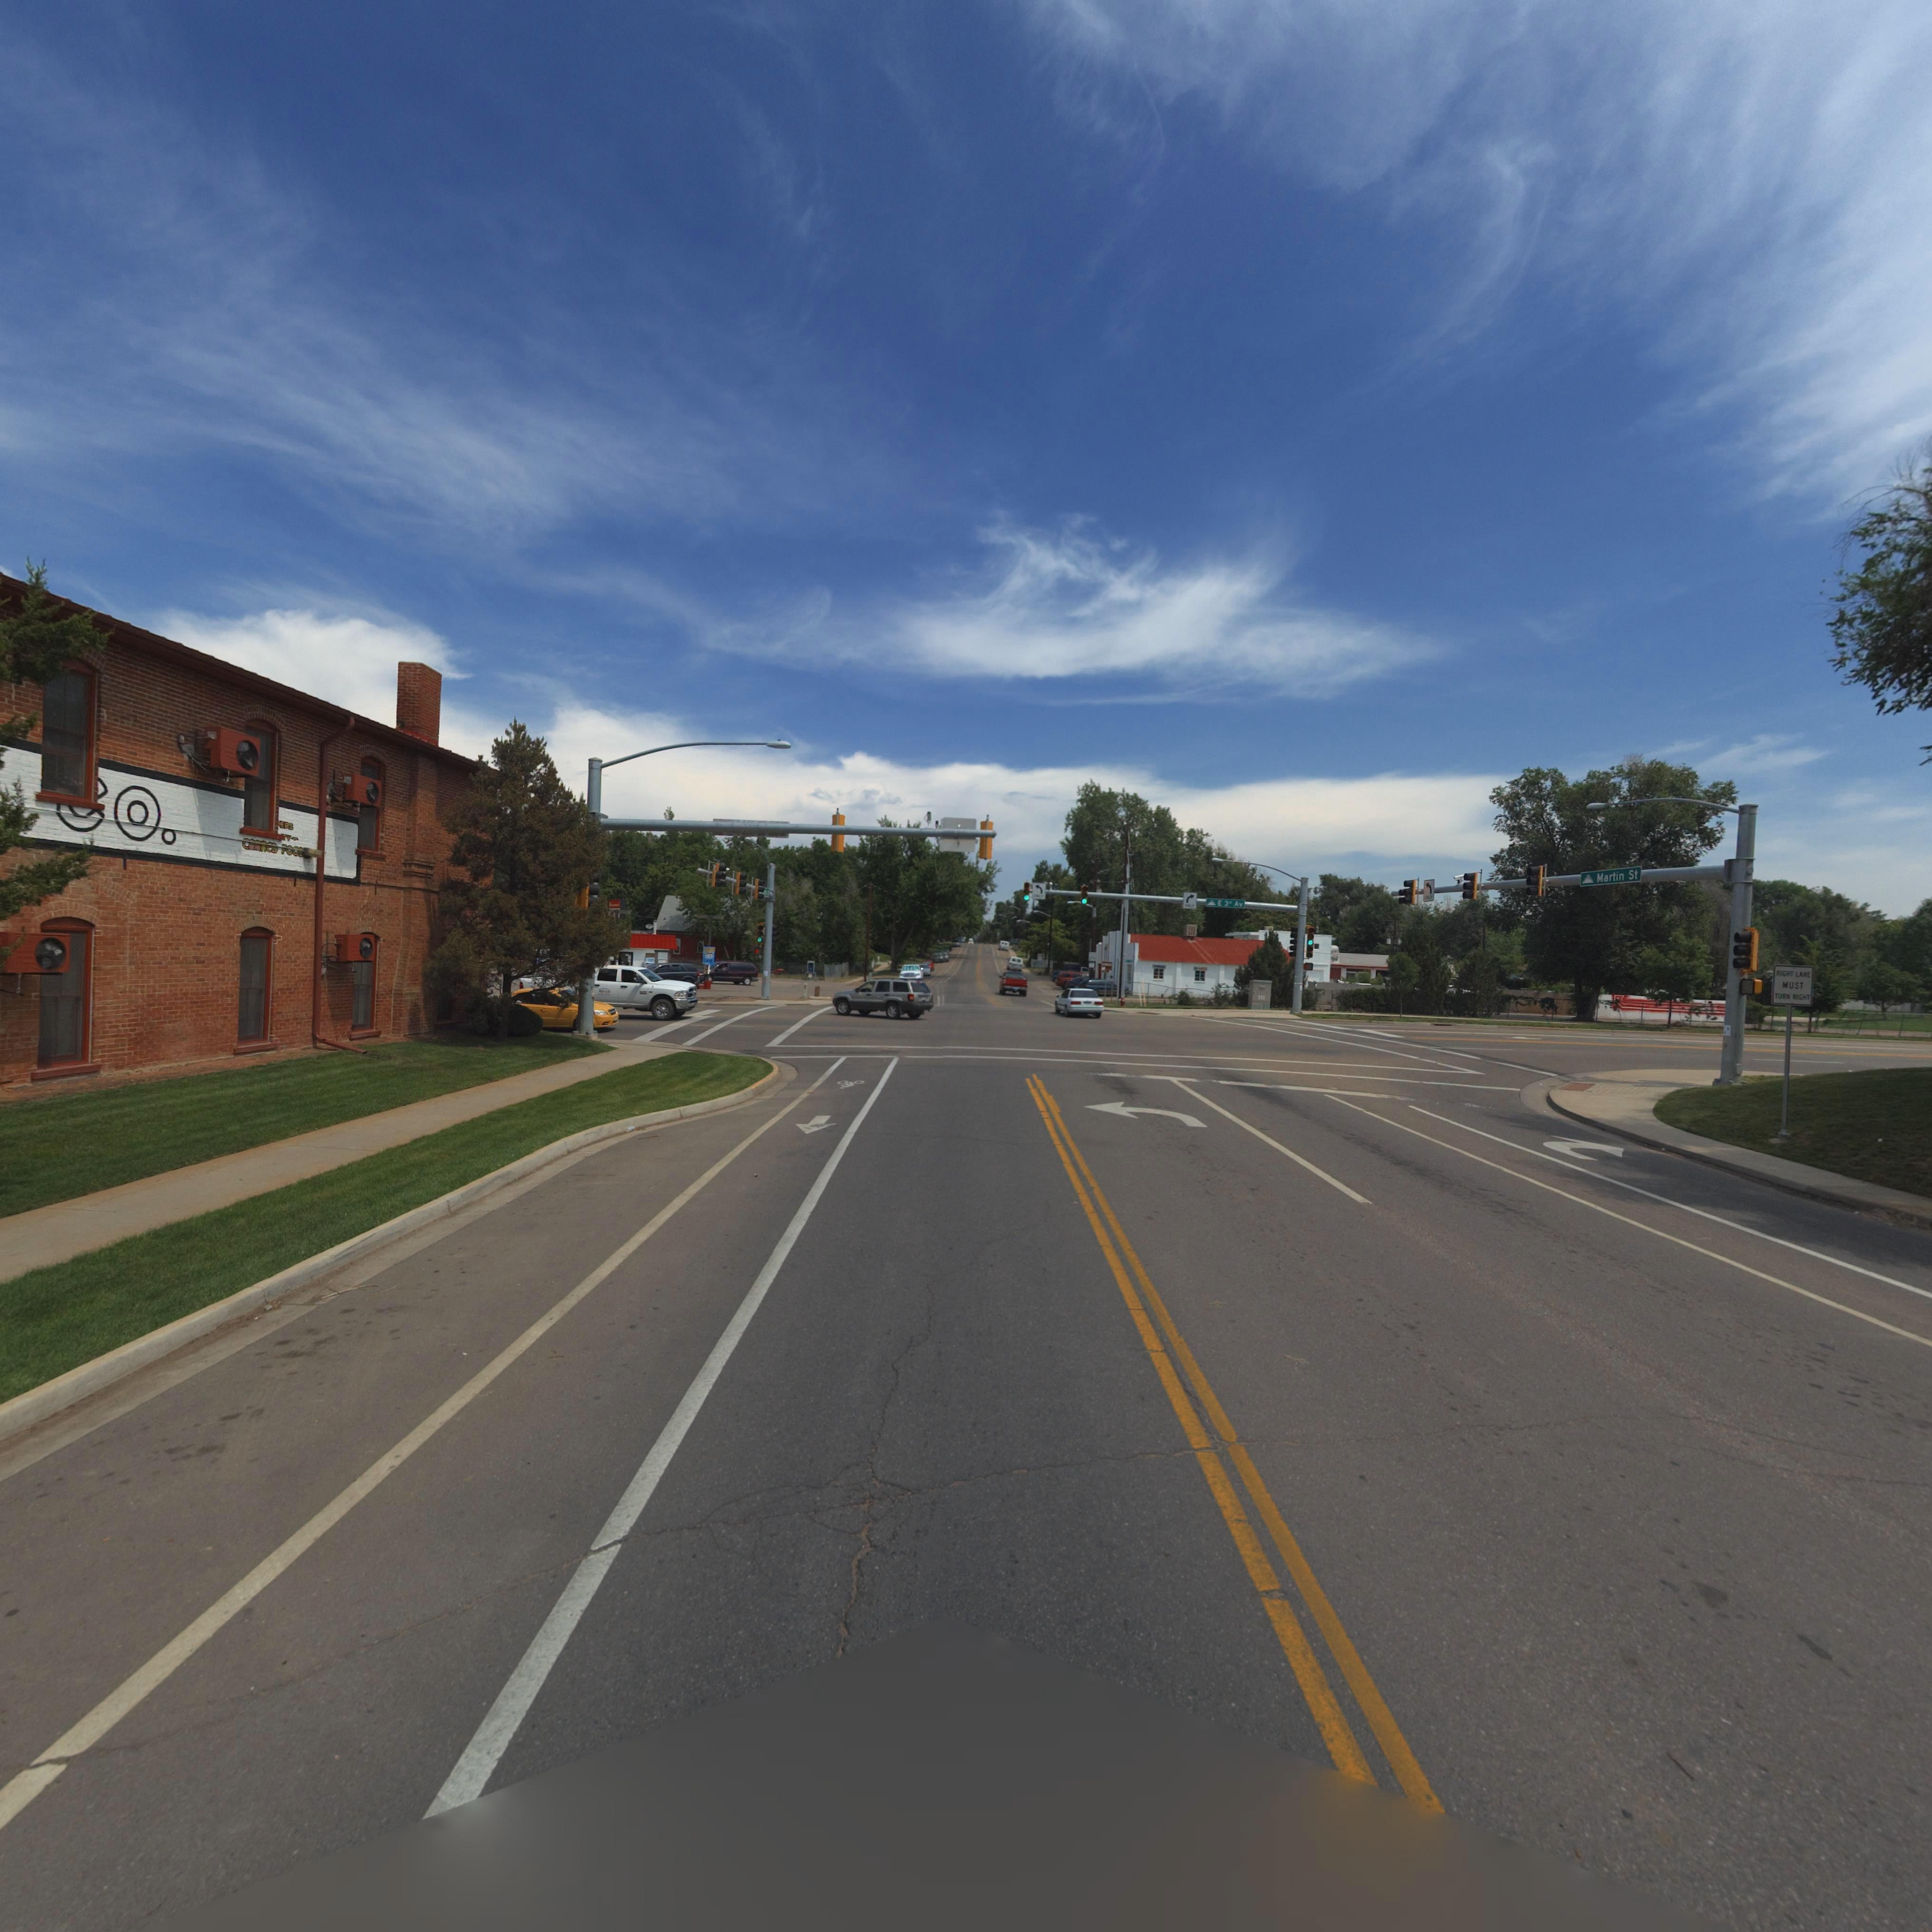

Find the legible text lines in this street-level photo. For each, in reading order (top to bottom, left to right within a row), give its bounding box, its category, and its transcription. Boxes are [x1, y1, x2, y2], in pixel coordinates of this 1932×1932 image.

[1594, 869, 1640, 883] StreetName: Martin St
[1217, 899, 1244, 907] StreetName: E 3rd Av